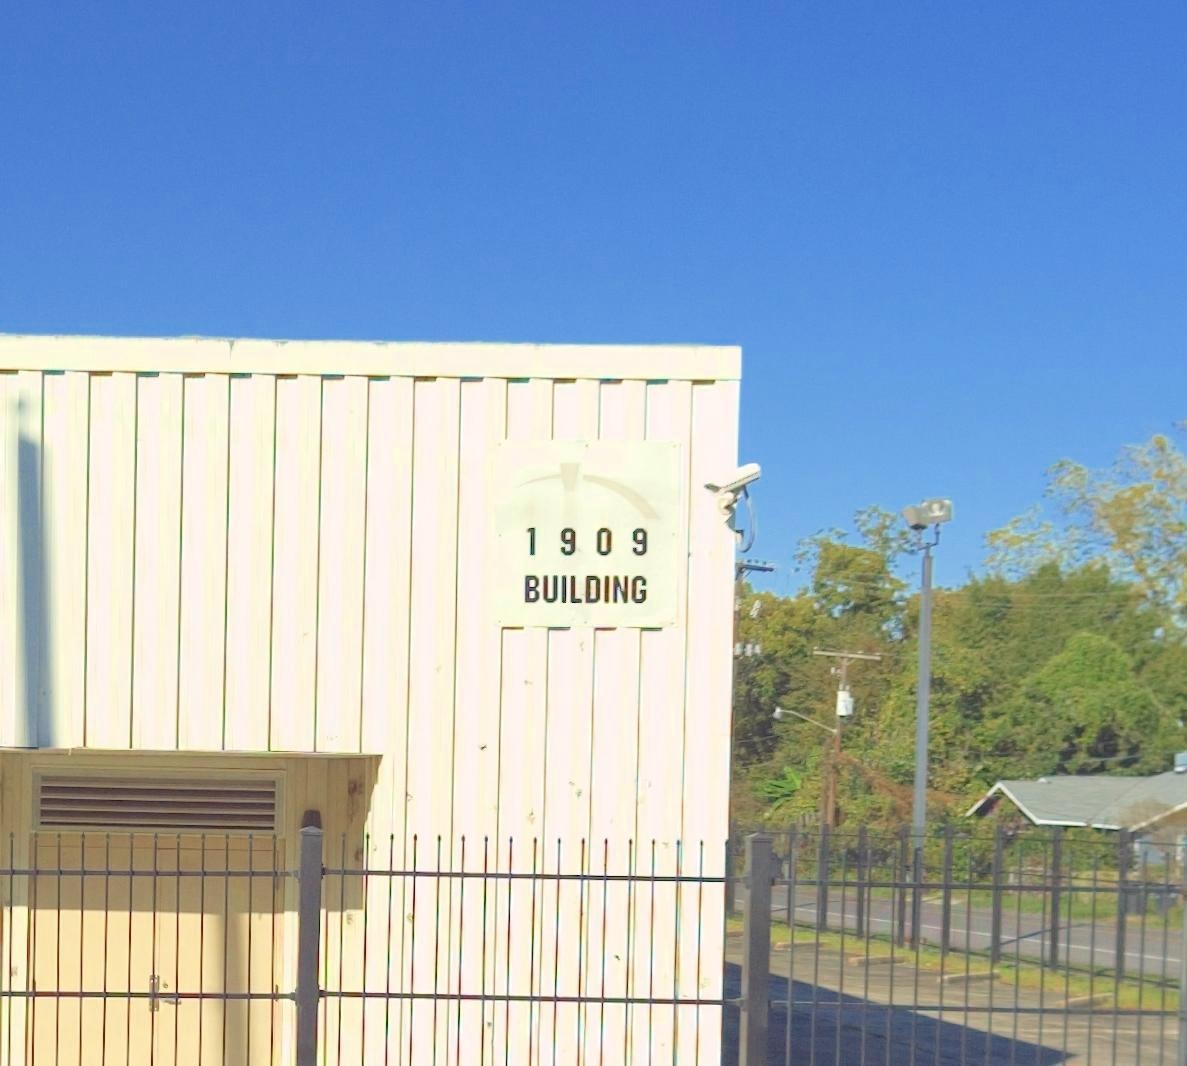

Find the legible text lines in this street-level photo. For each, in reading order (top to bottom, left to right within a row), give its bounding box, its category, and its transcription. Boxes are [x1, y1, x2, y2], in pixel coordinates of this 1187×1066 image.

[523, 524, 650, 561] StreetNumber: 1909
[521, 570, 650, 608] None: BUILDING